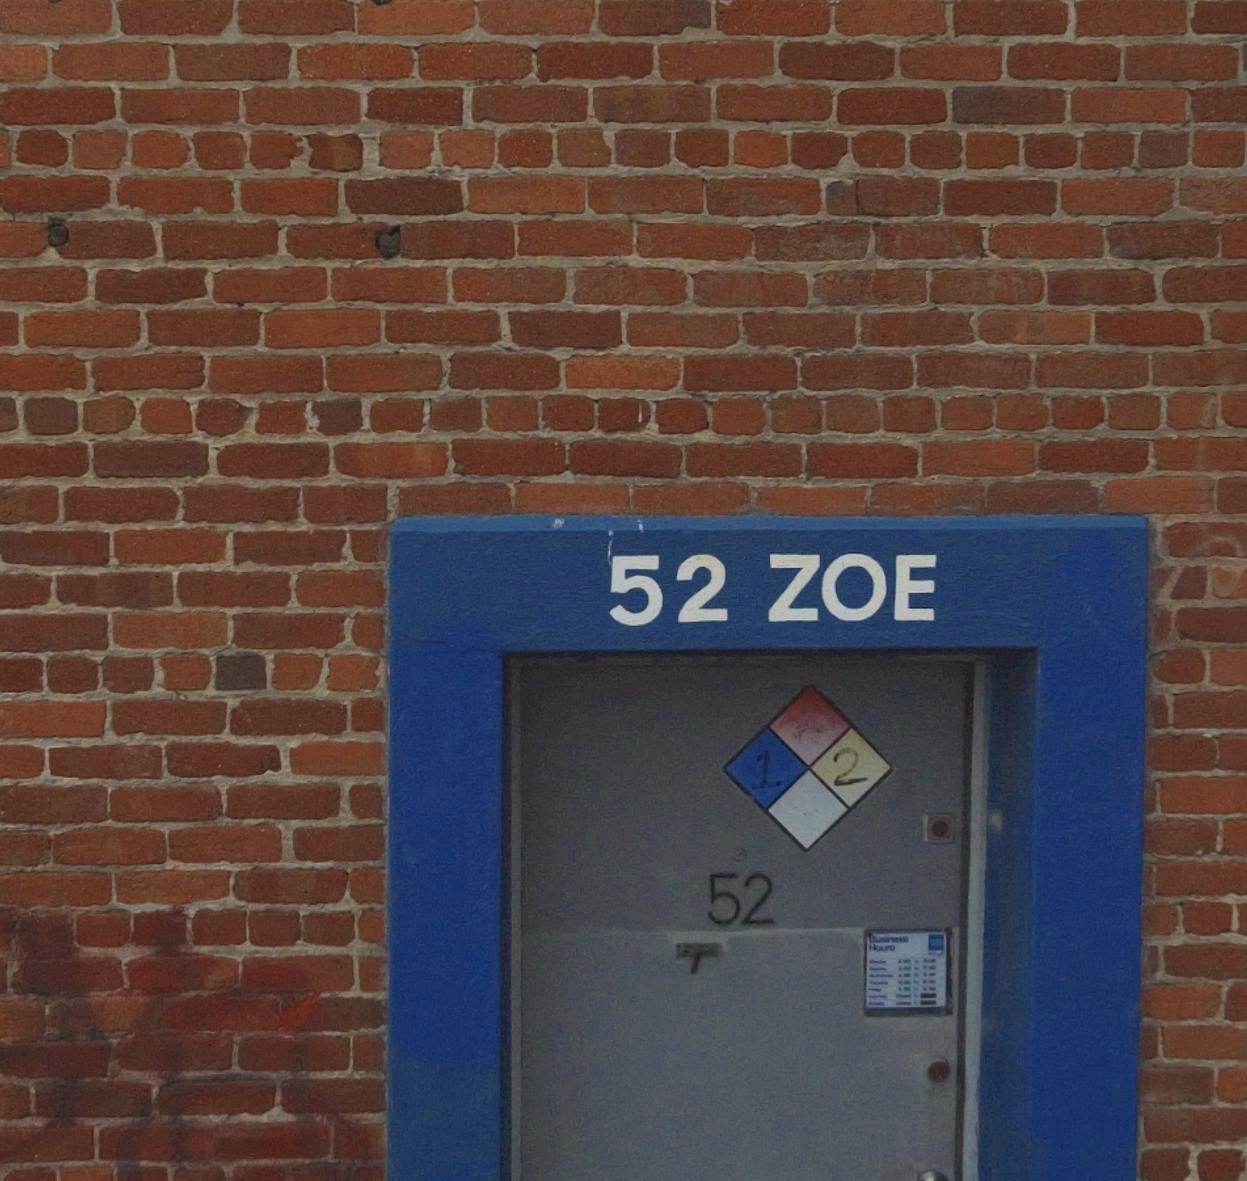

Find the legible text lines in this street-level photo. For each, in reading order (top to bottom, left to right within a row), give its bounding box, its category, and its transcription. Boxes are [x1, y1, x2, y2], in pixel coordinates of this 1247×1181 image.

[603, 550, 731, 630] StreetNumber: 52
[763, 549, 941, 626] None: ZOE
[744, 745, 784, 791] None: 1
[830, 744, 870, 789] None: 2
[705, 869, 778, 929] None: 52